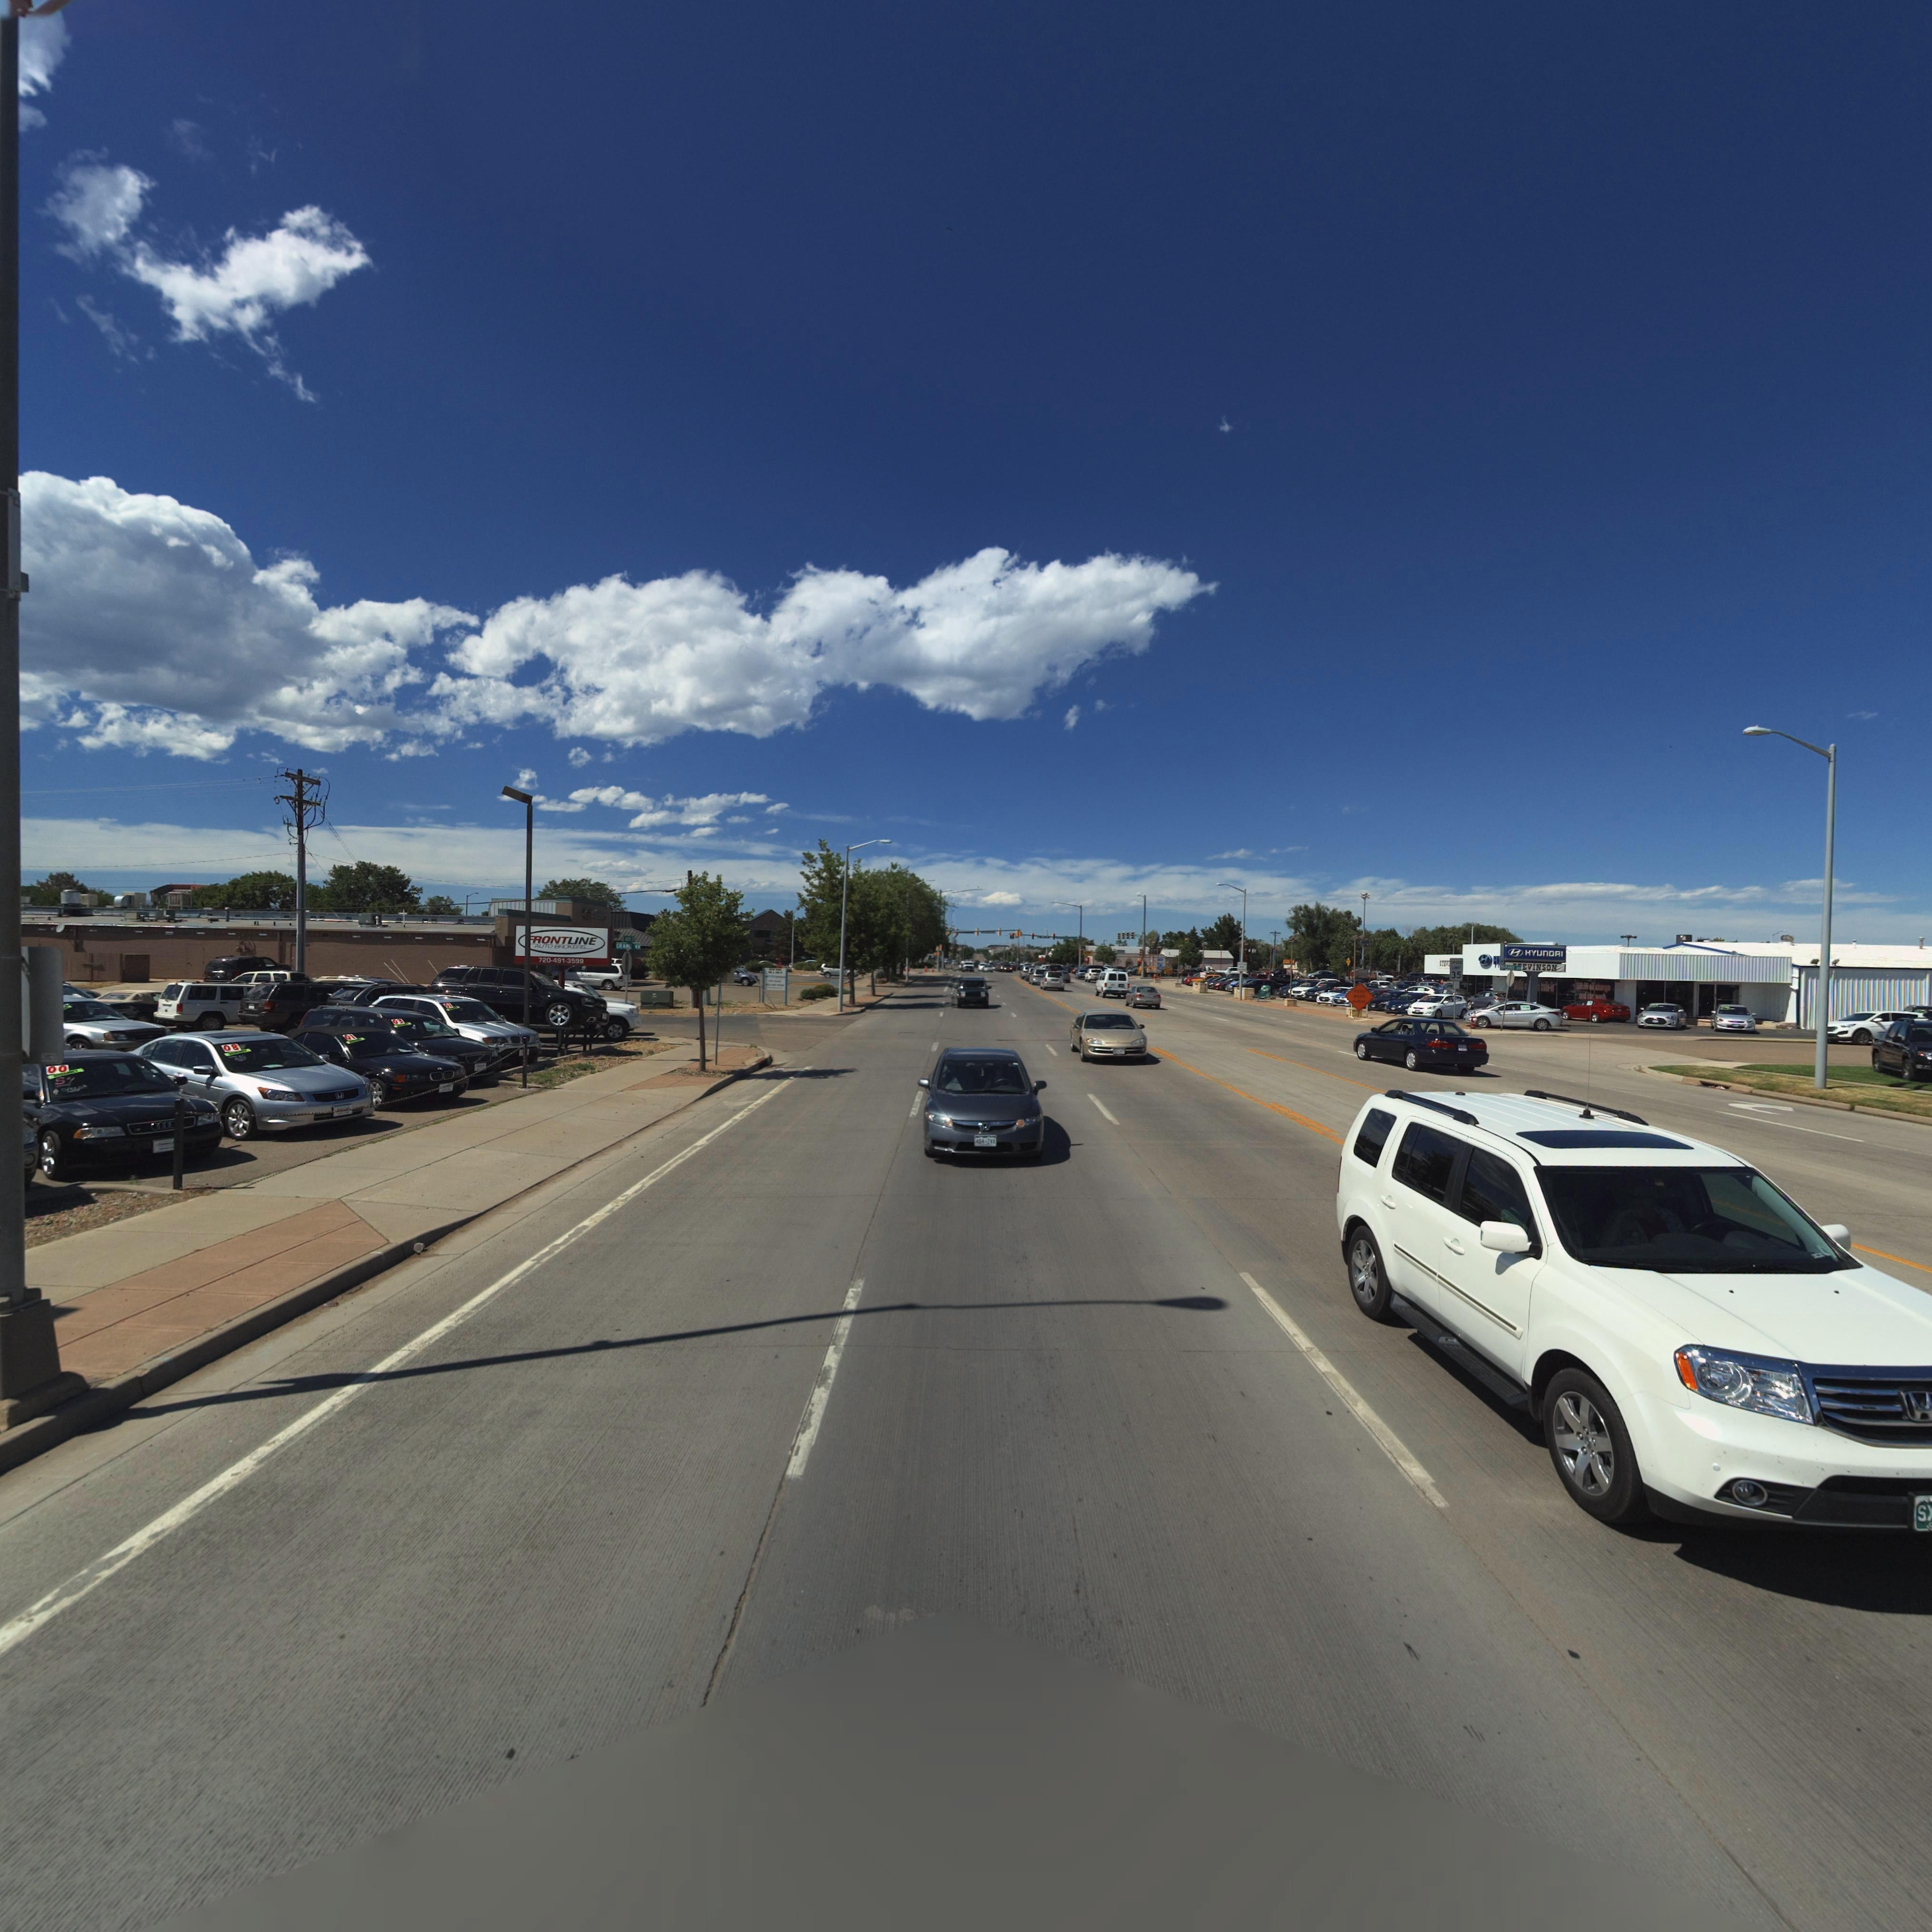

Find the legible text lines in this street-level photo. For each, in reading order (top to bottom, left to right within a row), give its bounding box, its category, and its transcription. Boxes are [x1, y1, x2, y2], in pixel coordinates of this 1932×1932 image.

[532, 936, 598, 945] BusinessName: RONTLINE
[616, 943, 641, 948] StreetName: GRAN* AV
[1525, 949, 1563, 956] BusinessName: HYUnDAI
[1439, 960, 1448, 966] BusinessName: STEV
[1493, 956, 1497, 965] BusinessName: H
[1502, 964, 1515, 969] StreetName: **AND
[1522, 963, 1557, 971] BusinessName: EVINSON